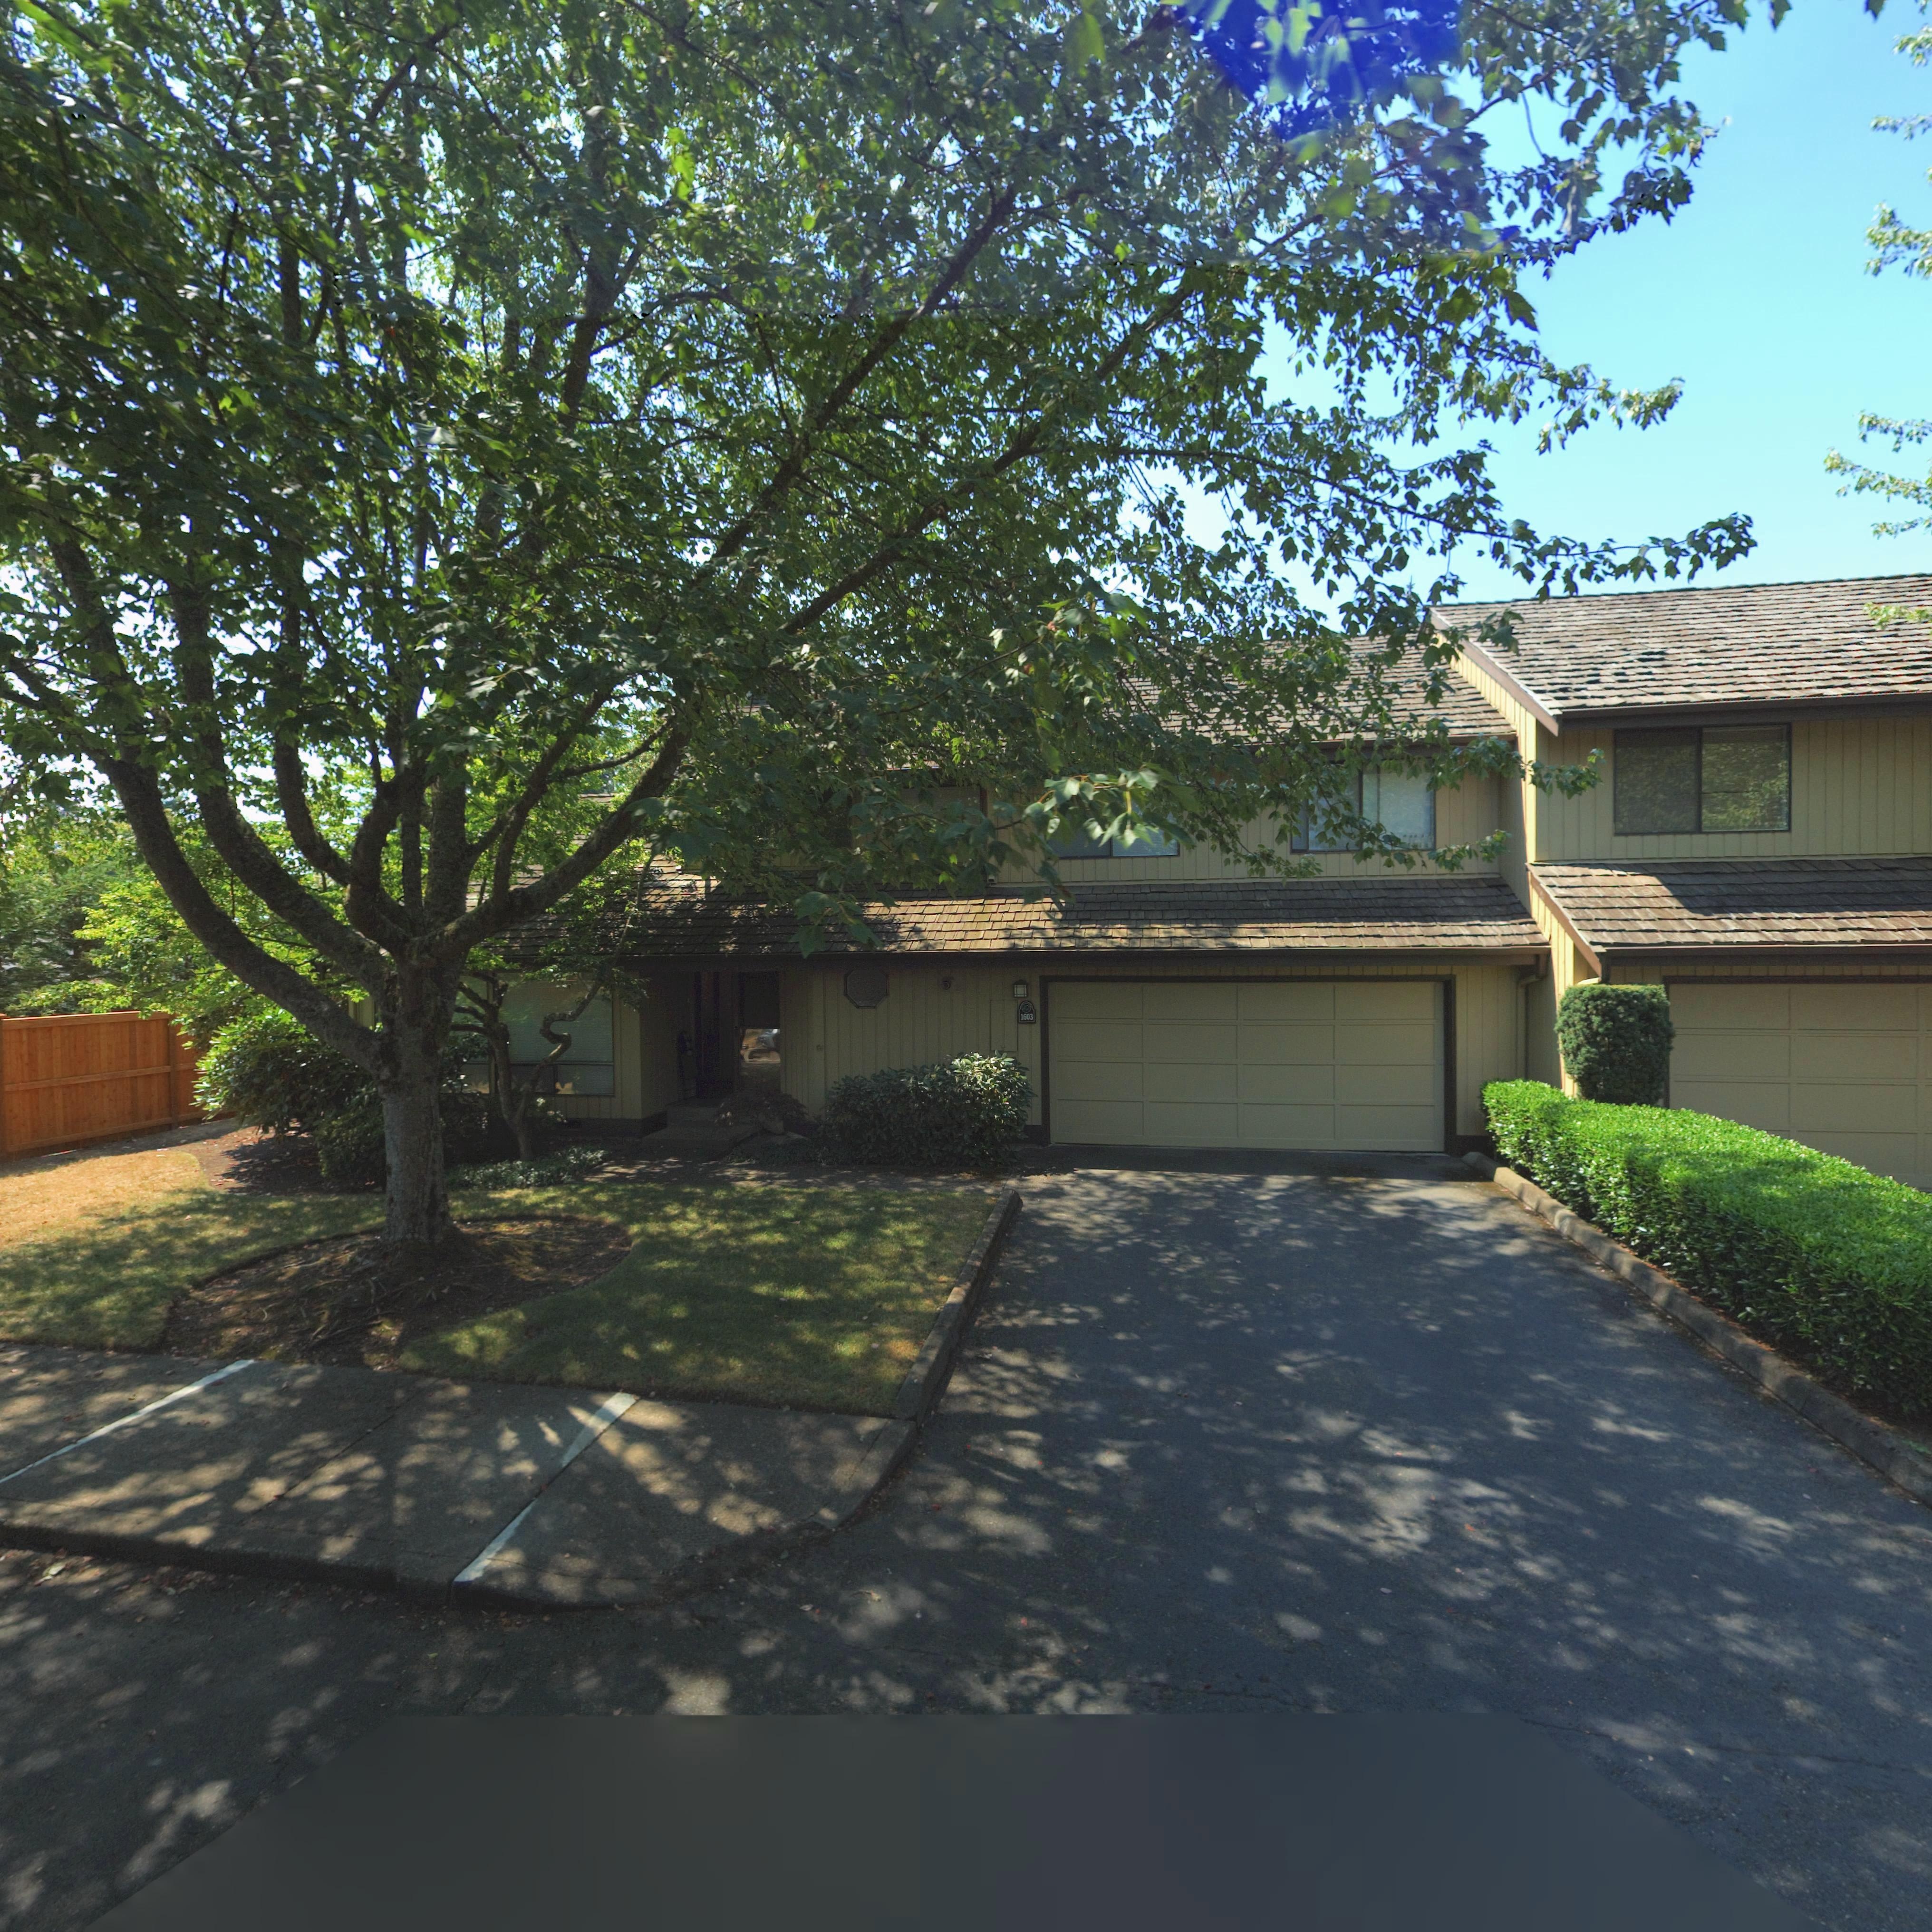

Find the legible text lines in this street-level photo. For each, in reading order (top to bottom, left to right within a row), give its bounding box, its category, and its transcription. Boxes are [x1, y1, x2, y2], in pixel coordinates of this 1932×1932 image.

[1020, 1013, 1034, 1021] StreetNumber: 1603